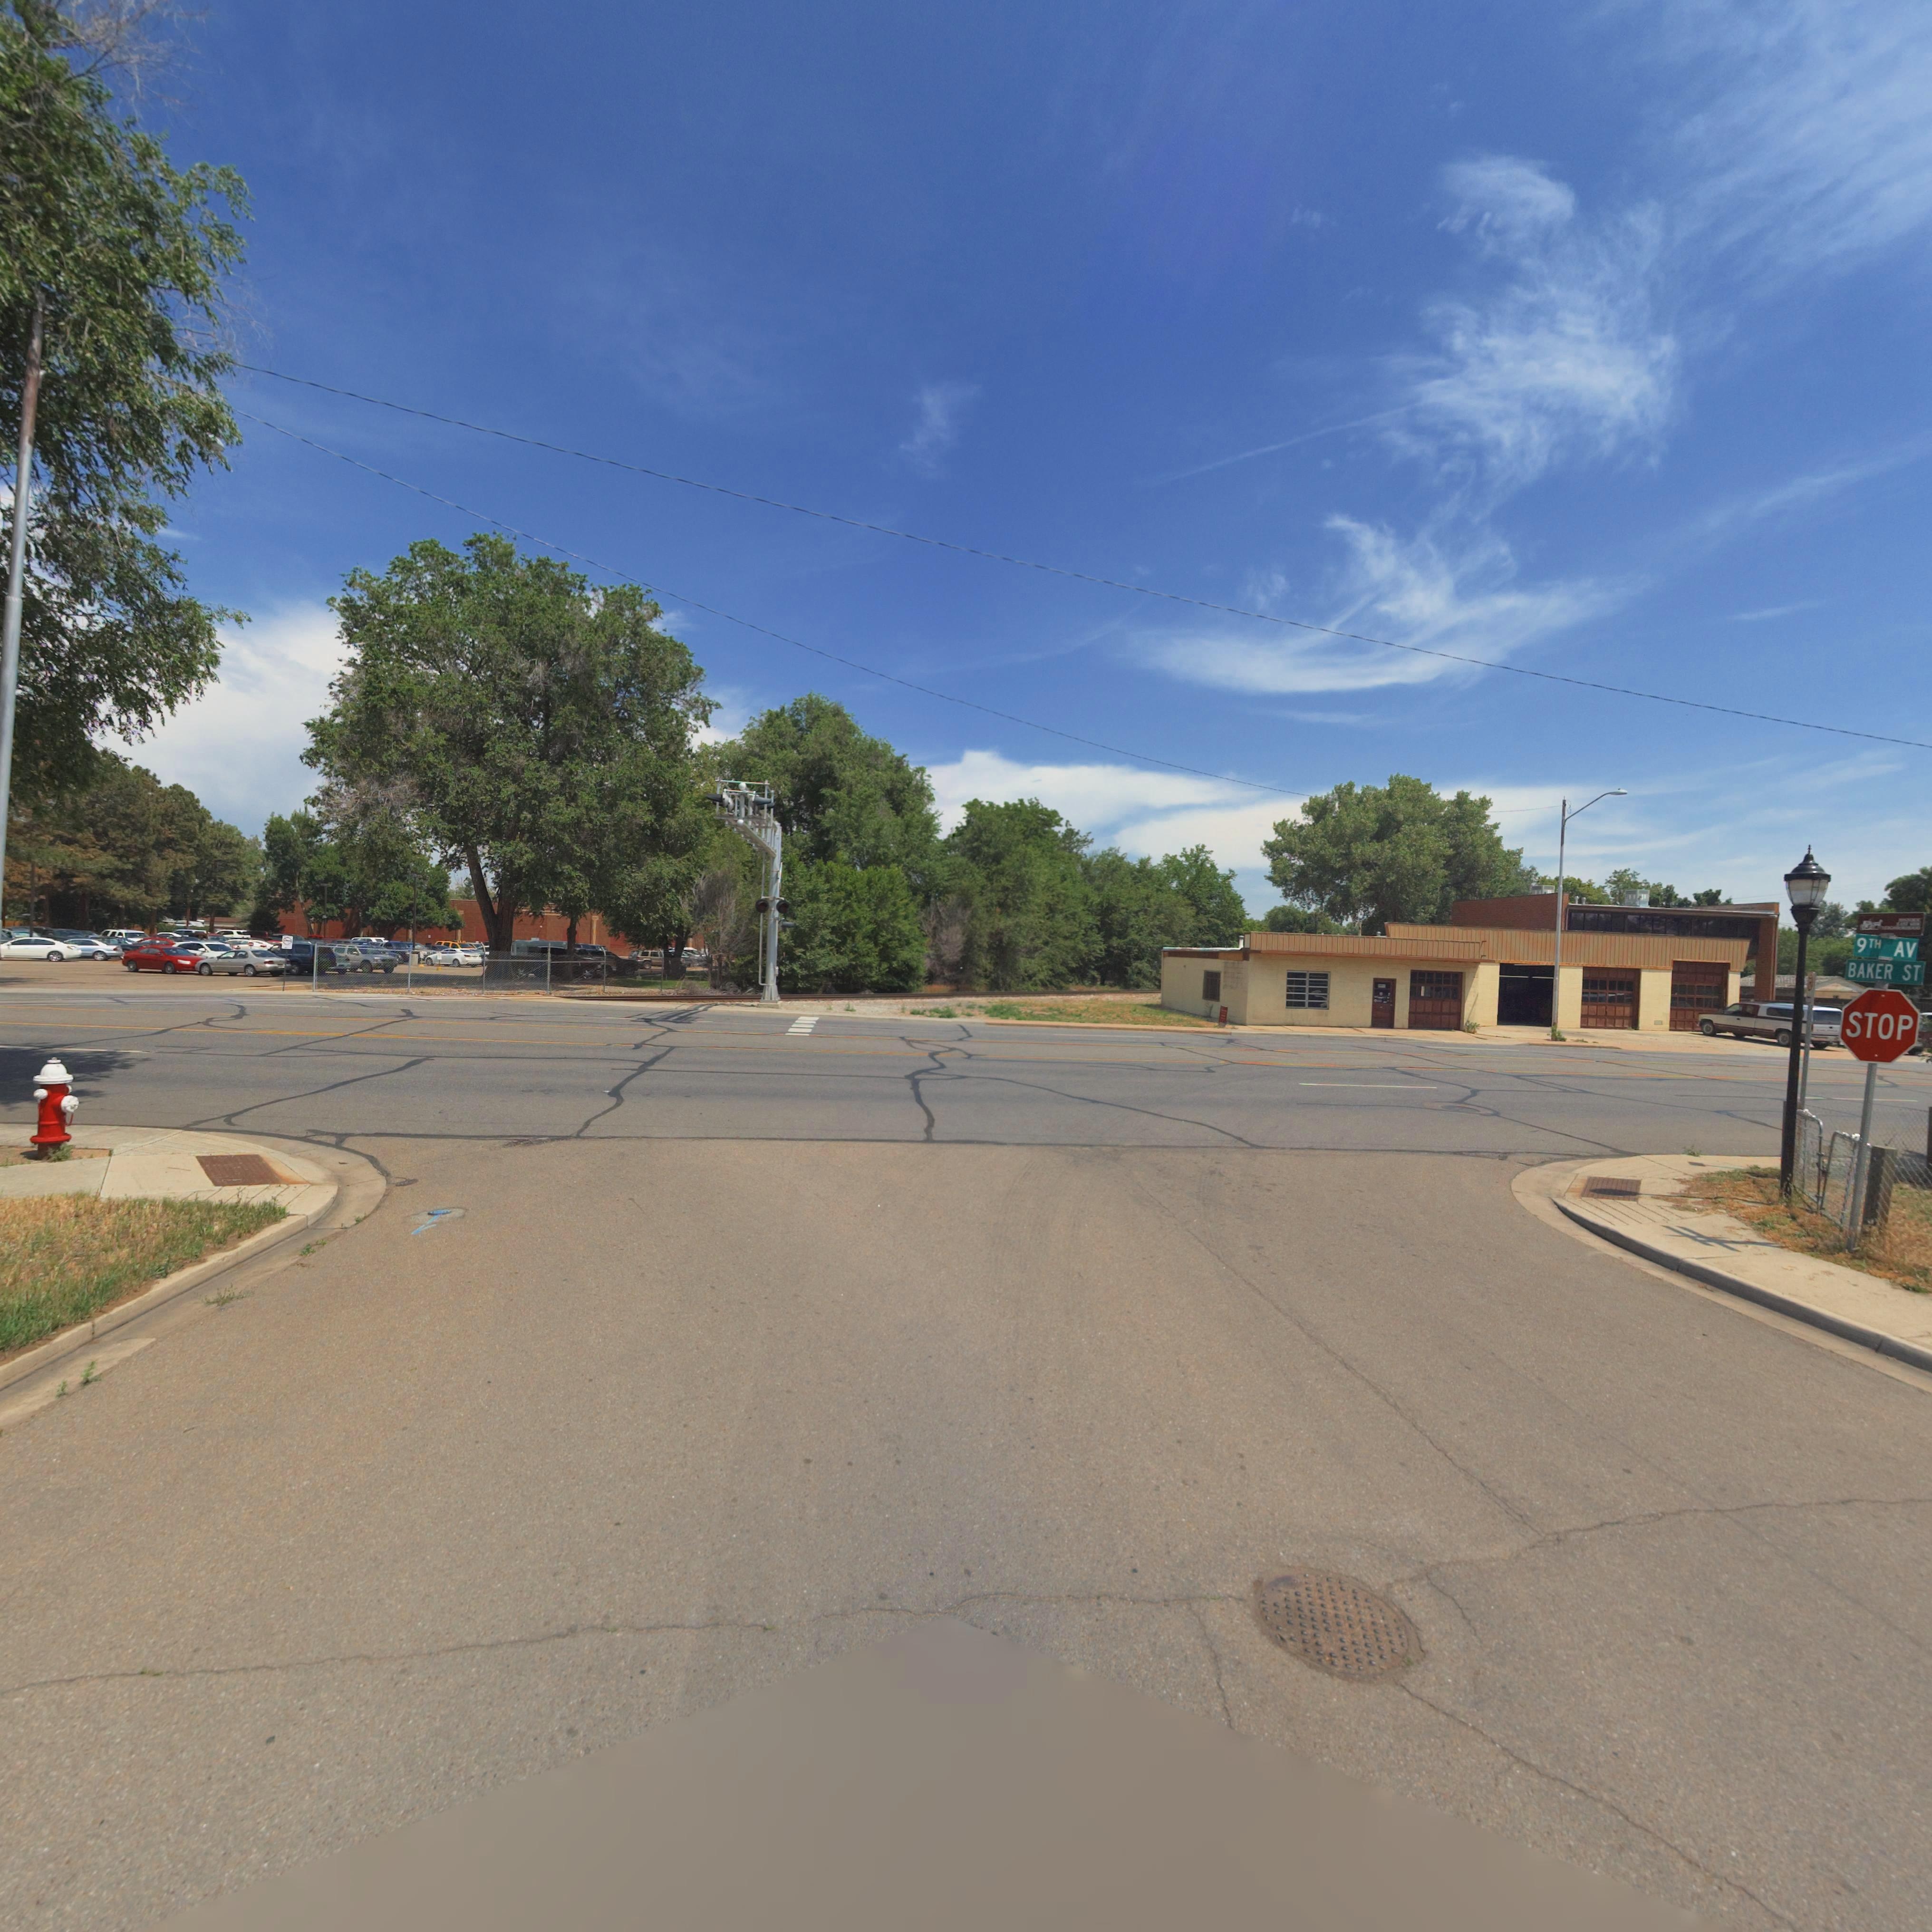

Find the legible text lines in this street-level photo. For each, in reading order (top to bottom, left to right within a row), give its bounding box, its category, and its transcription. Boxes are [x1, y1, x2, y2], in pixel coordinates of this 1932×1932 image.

[1855, 936, 1918, 958] StreetName: 9TH AV
[1846, 962, 1922, 982] StreetName: BAKER ST